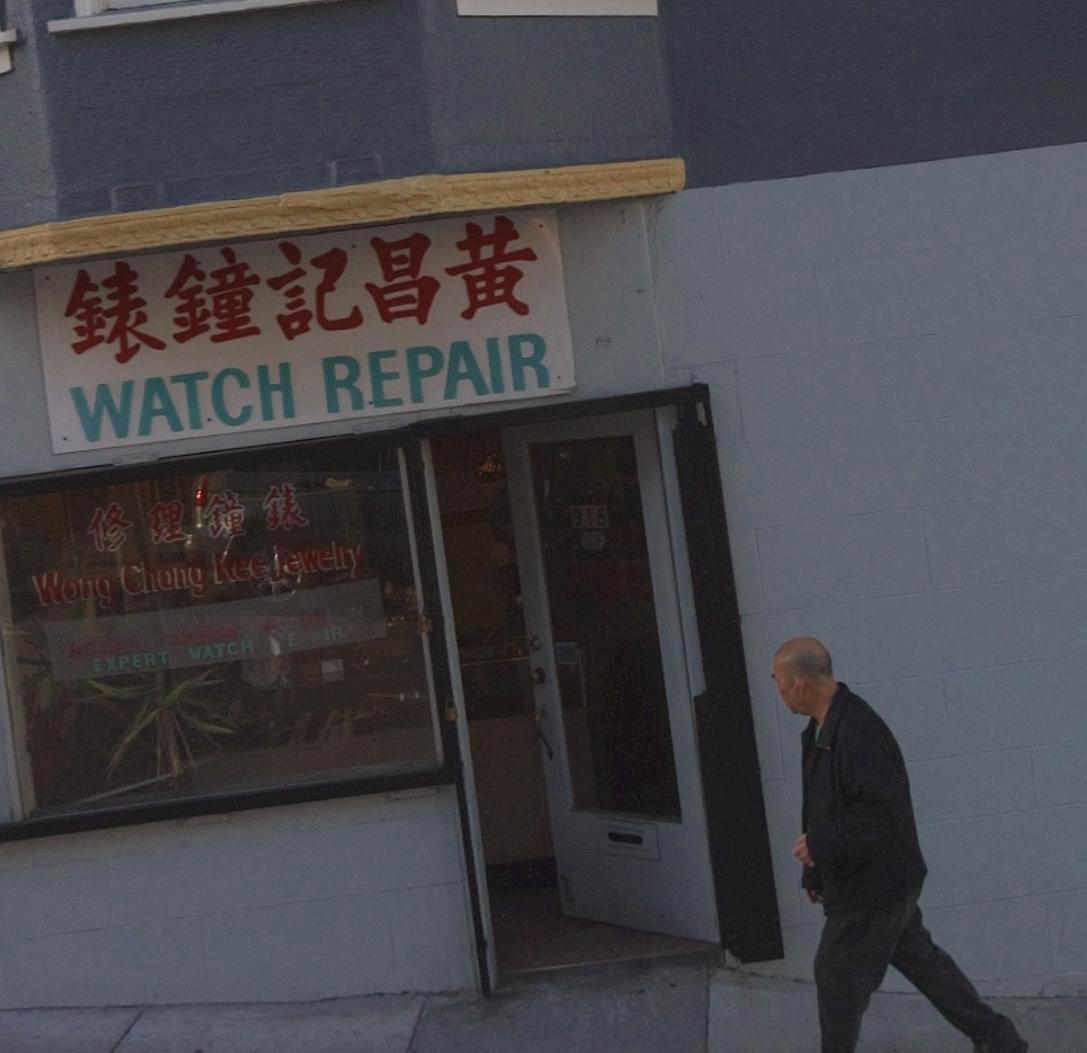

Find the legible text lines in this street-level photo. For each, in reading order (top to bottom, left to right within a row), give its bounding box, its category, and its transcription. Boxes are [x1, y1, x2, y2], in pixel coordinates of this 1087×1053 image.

[61, 327, 554, 448] None: WATCH REPAIR
[572, 504, 607, 530] StreetNumber: 918
[26, 535, 368, 614] BusinessName: Wong Chong Kee Jewelry
[92, 637, 254, 676] None: EXPERT WATCH
[285, 630, 301, 649] None: E
[321, 621, 348, 645] None: IR